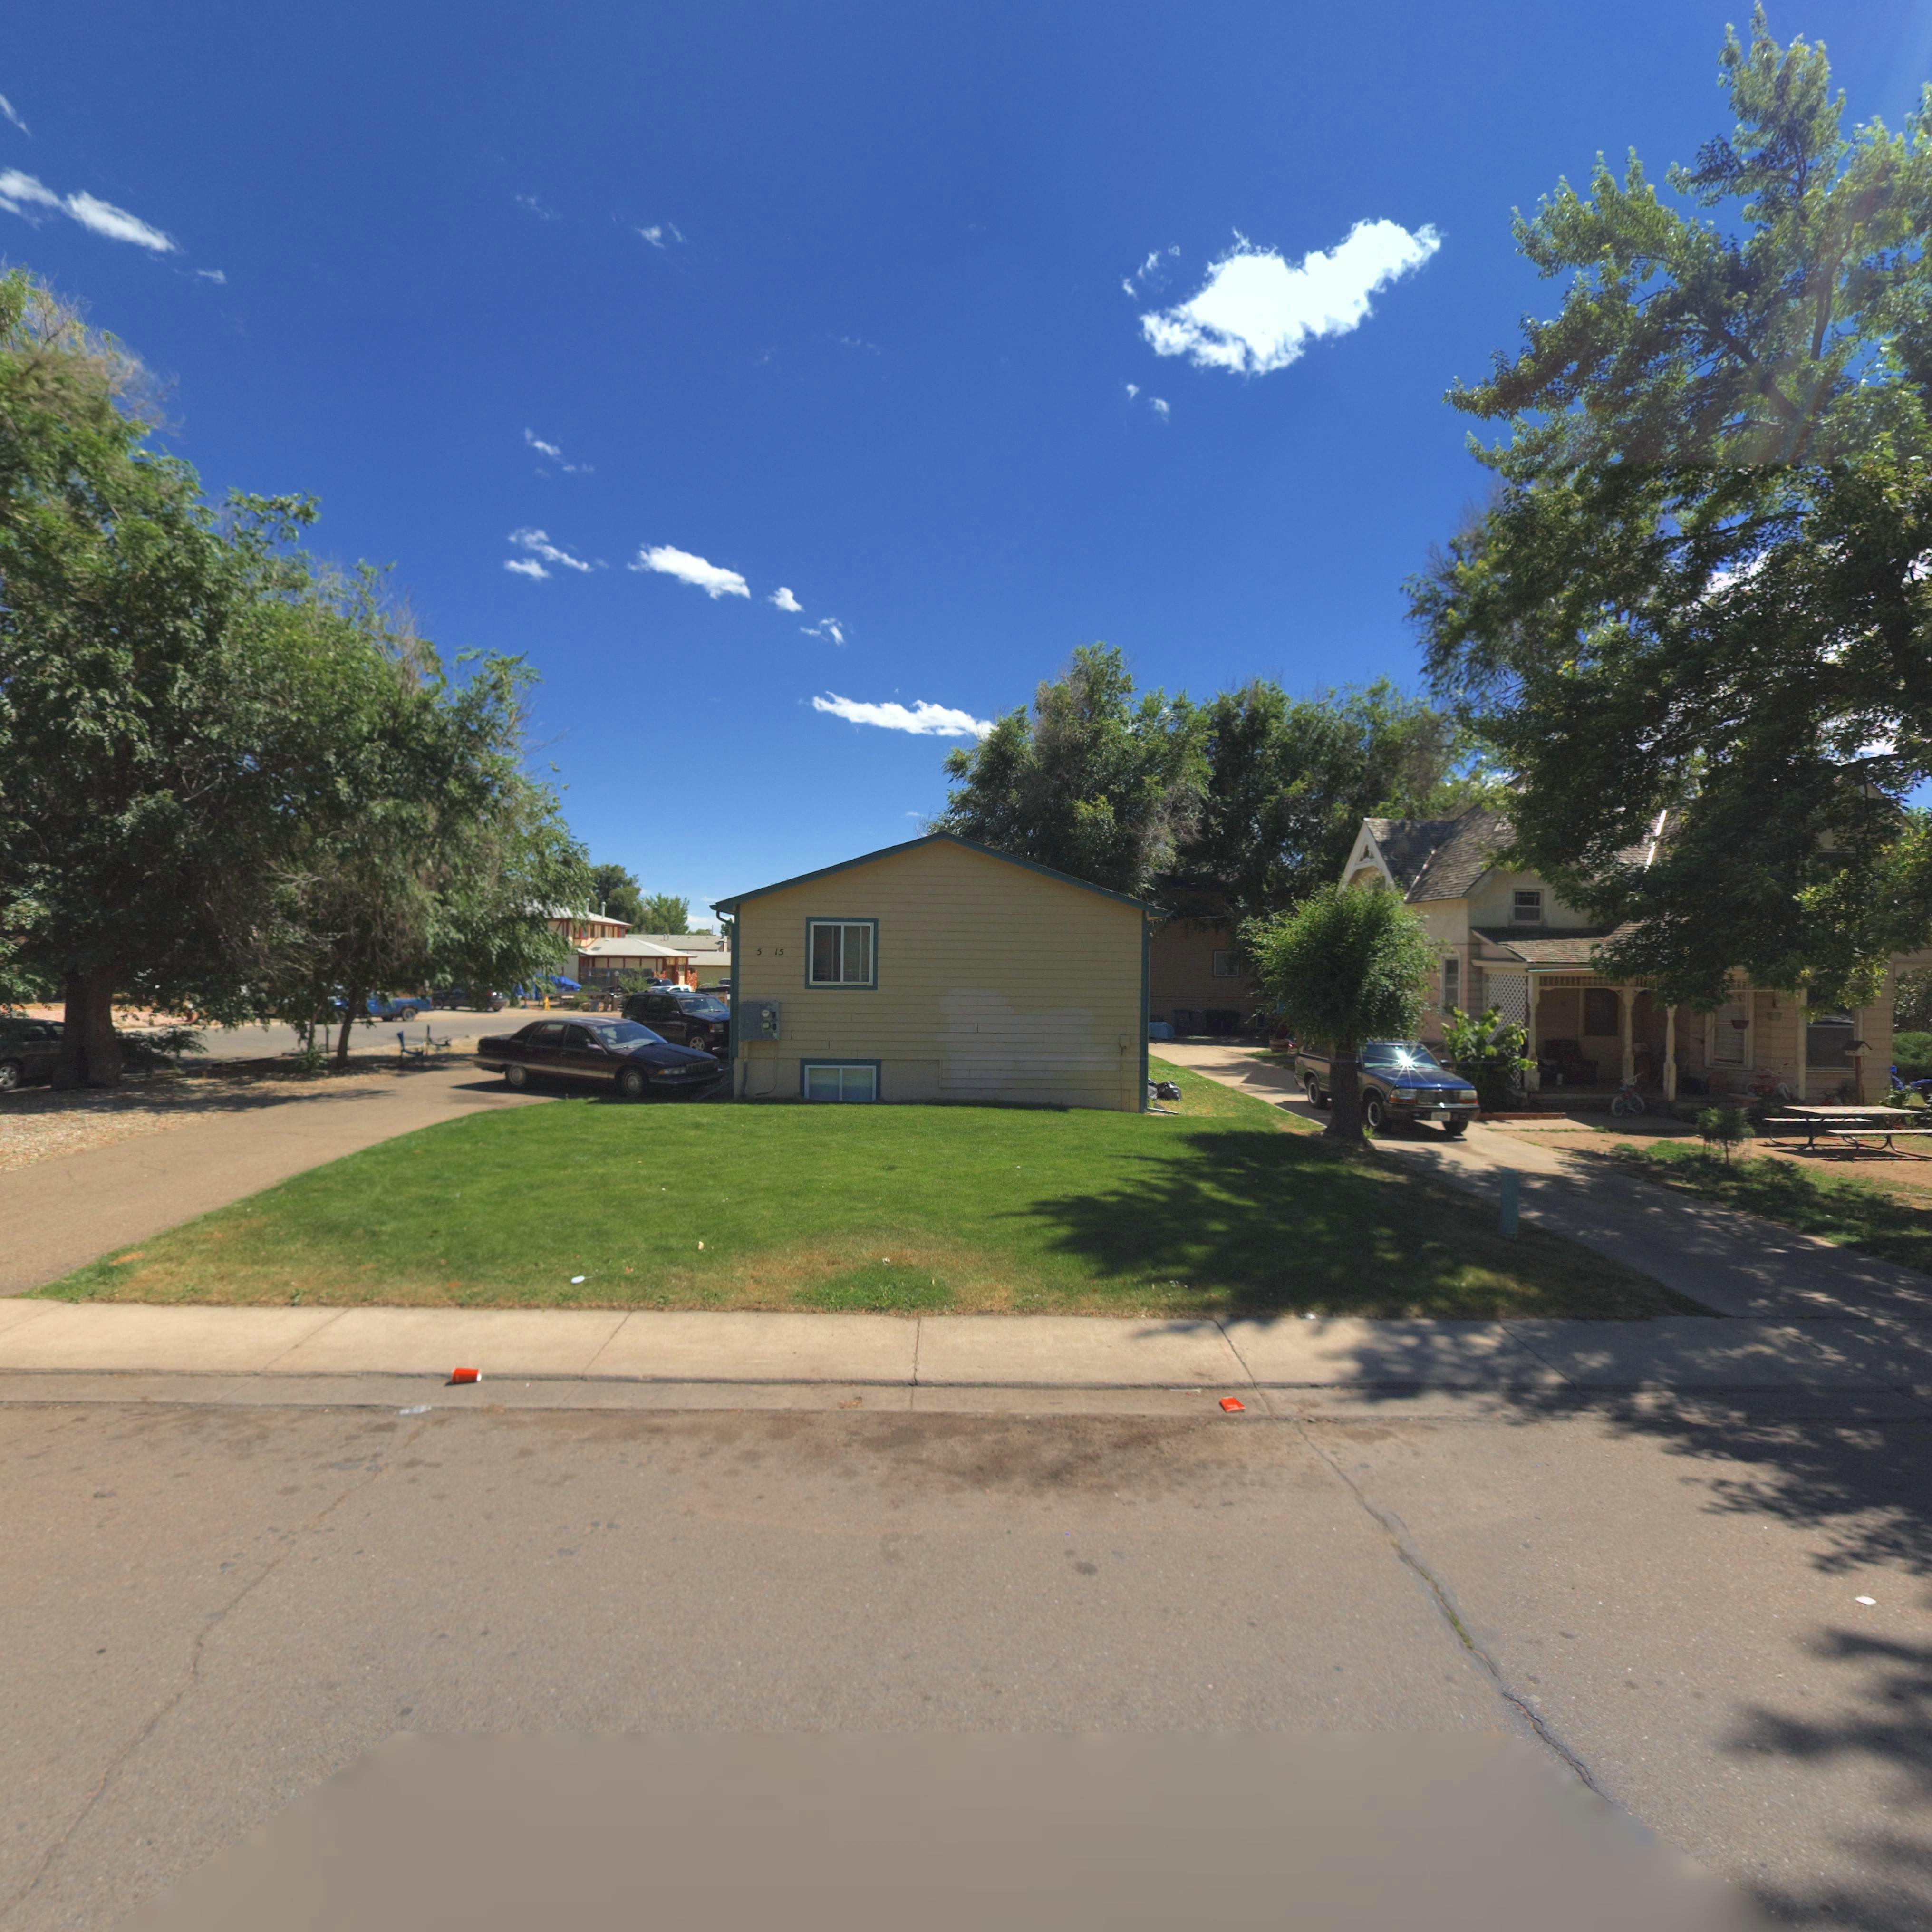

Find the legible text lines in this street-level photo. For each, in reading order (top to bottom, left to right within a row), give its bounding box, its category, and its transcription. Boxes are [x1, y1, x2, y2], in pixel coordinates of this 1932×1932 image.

[756, 947, 762, 956] StreetNumber: 5
[774, 947, 784, 956] StreetNumber: 15